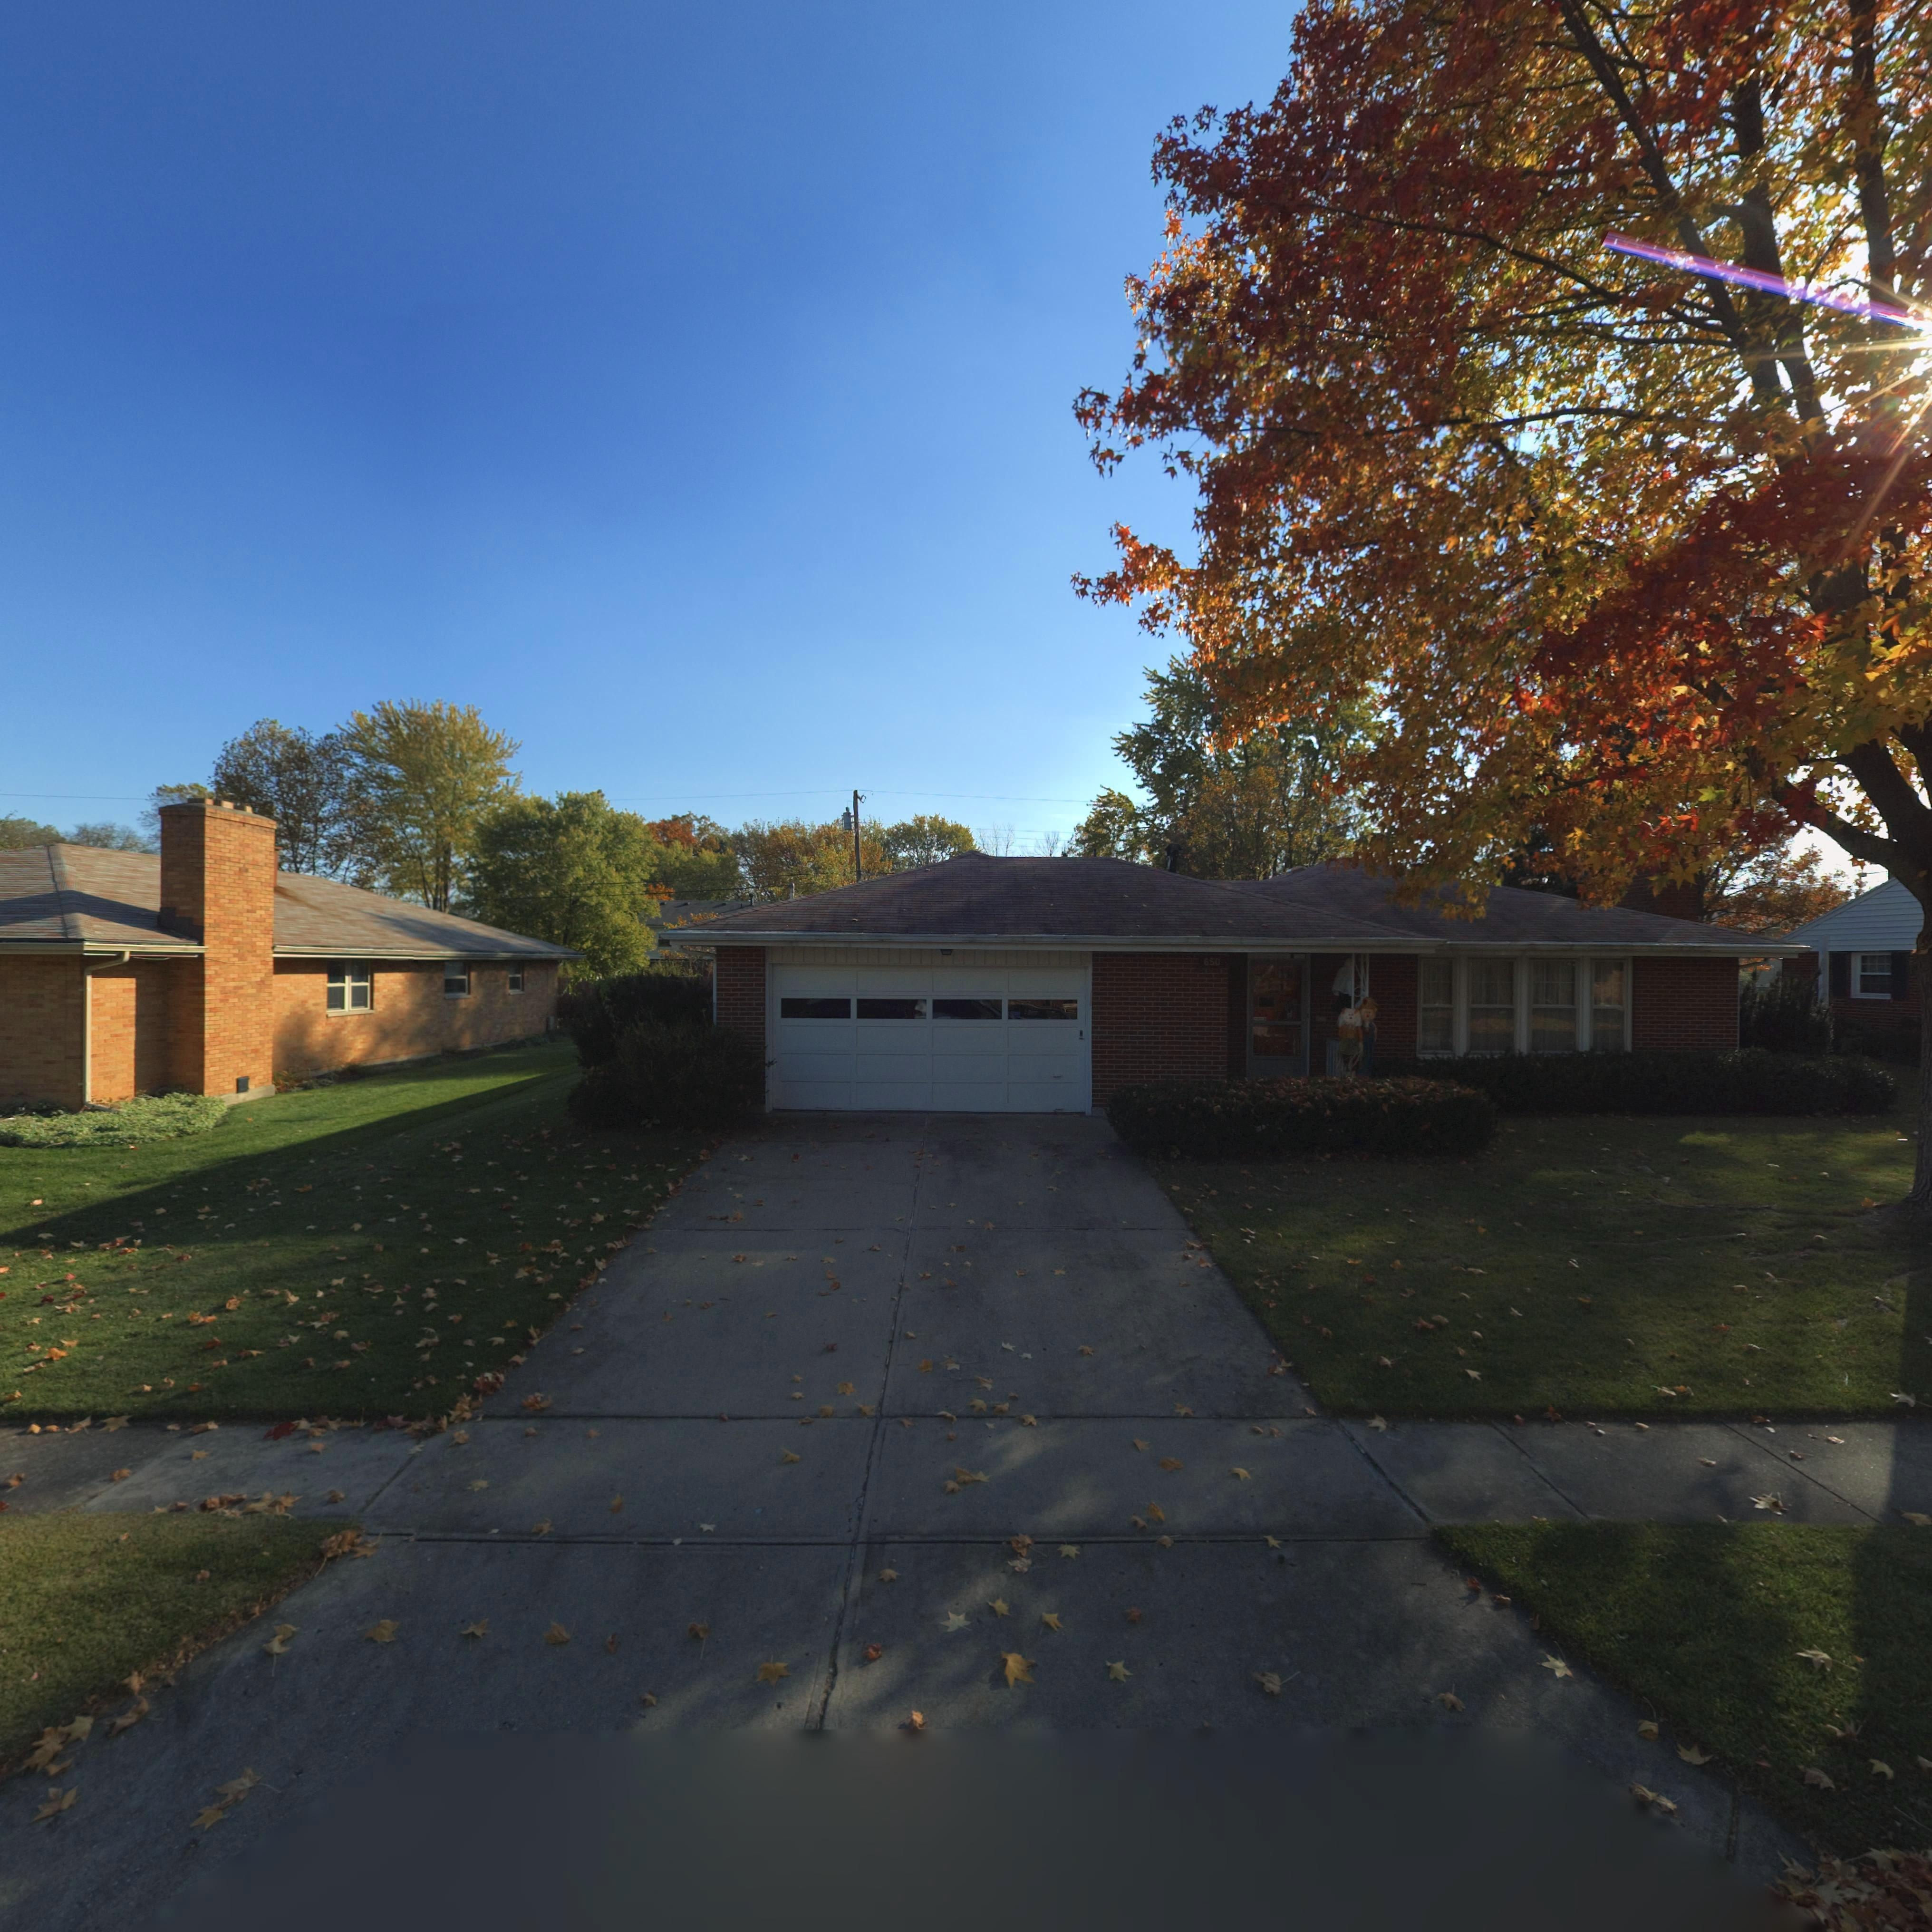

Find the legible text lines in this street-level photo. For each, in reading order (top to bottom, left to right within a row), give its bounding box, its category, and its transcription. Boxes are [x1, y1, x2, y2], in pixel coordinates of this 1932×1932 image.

[1203, 957, 1221, 966] StreetNumber: 650